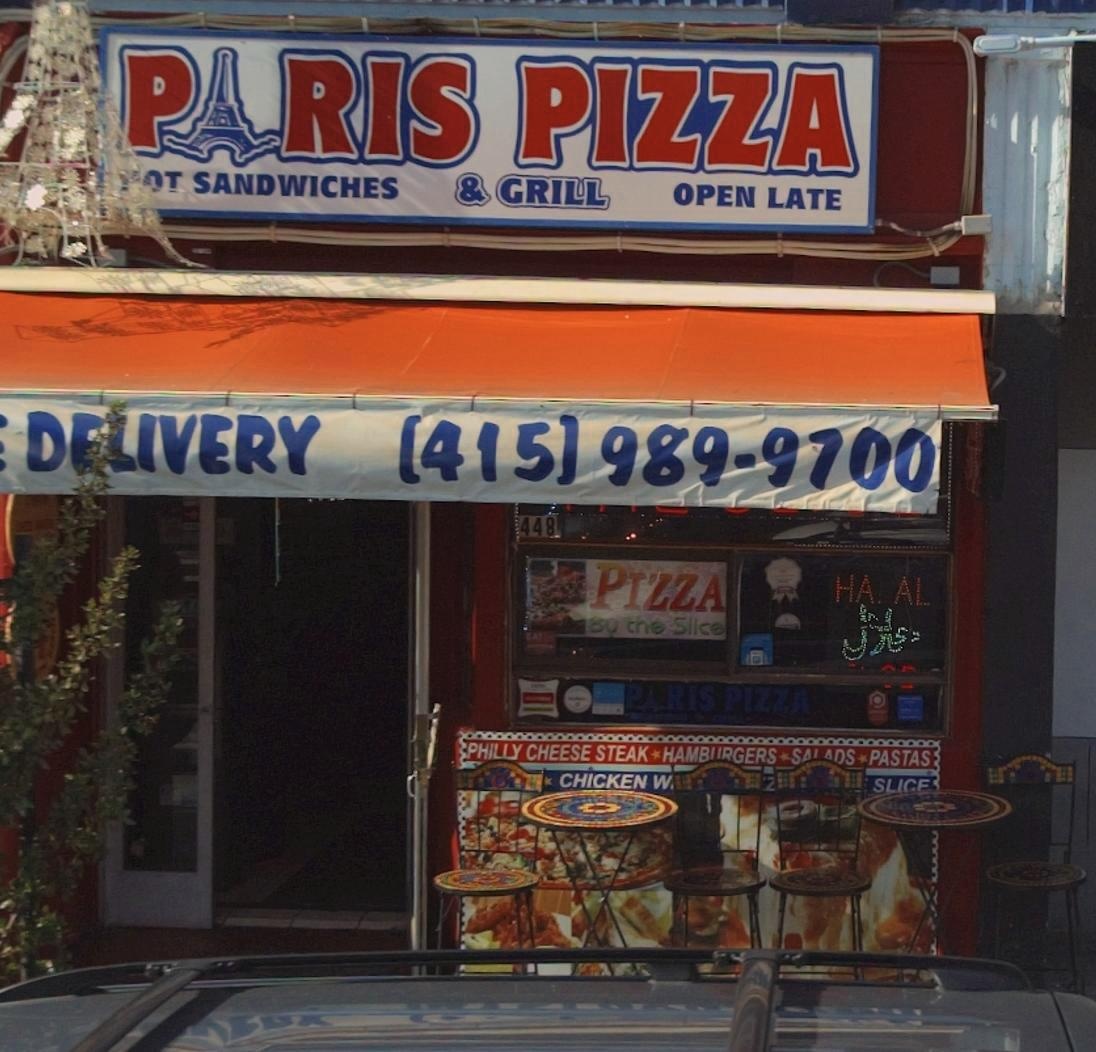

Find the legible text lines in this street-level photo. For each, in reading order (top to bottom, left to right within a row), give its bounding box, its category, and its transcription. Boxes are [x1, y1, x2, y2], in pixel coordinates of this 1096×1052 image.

[113, 41, 863, 180] BusinessName: P*RIS PIZZA
[161, 168, 402, 201] None: T SANDWICHES
[453, 170, 613, 212] None: & GRILL
[670, 181, 845, 215] None: OPEN
[22, 407, 940, 497] None: D*LIVERY [415]989-9700
[519, 515, 557, 538] StreetNumber: 448
[588, 561, 725, 614] None: PIZZA
[834, 572, 933, 609] None: HA. AL
[587, 613, 726, 638] None: By the Slice
[623, 680, 812, 717] None: P*RIS PIZZA
[463, 740, 933, 770] None: PHILLY CHEESE STEAK*HAMB**GERS*S***DS*PASTAS
[558, 771, 676, 791] None: CHICKEN W
[870, 777, 931, 795] None: SLI**